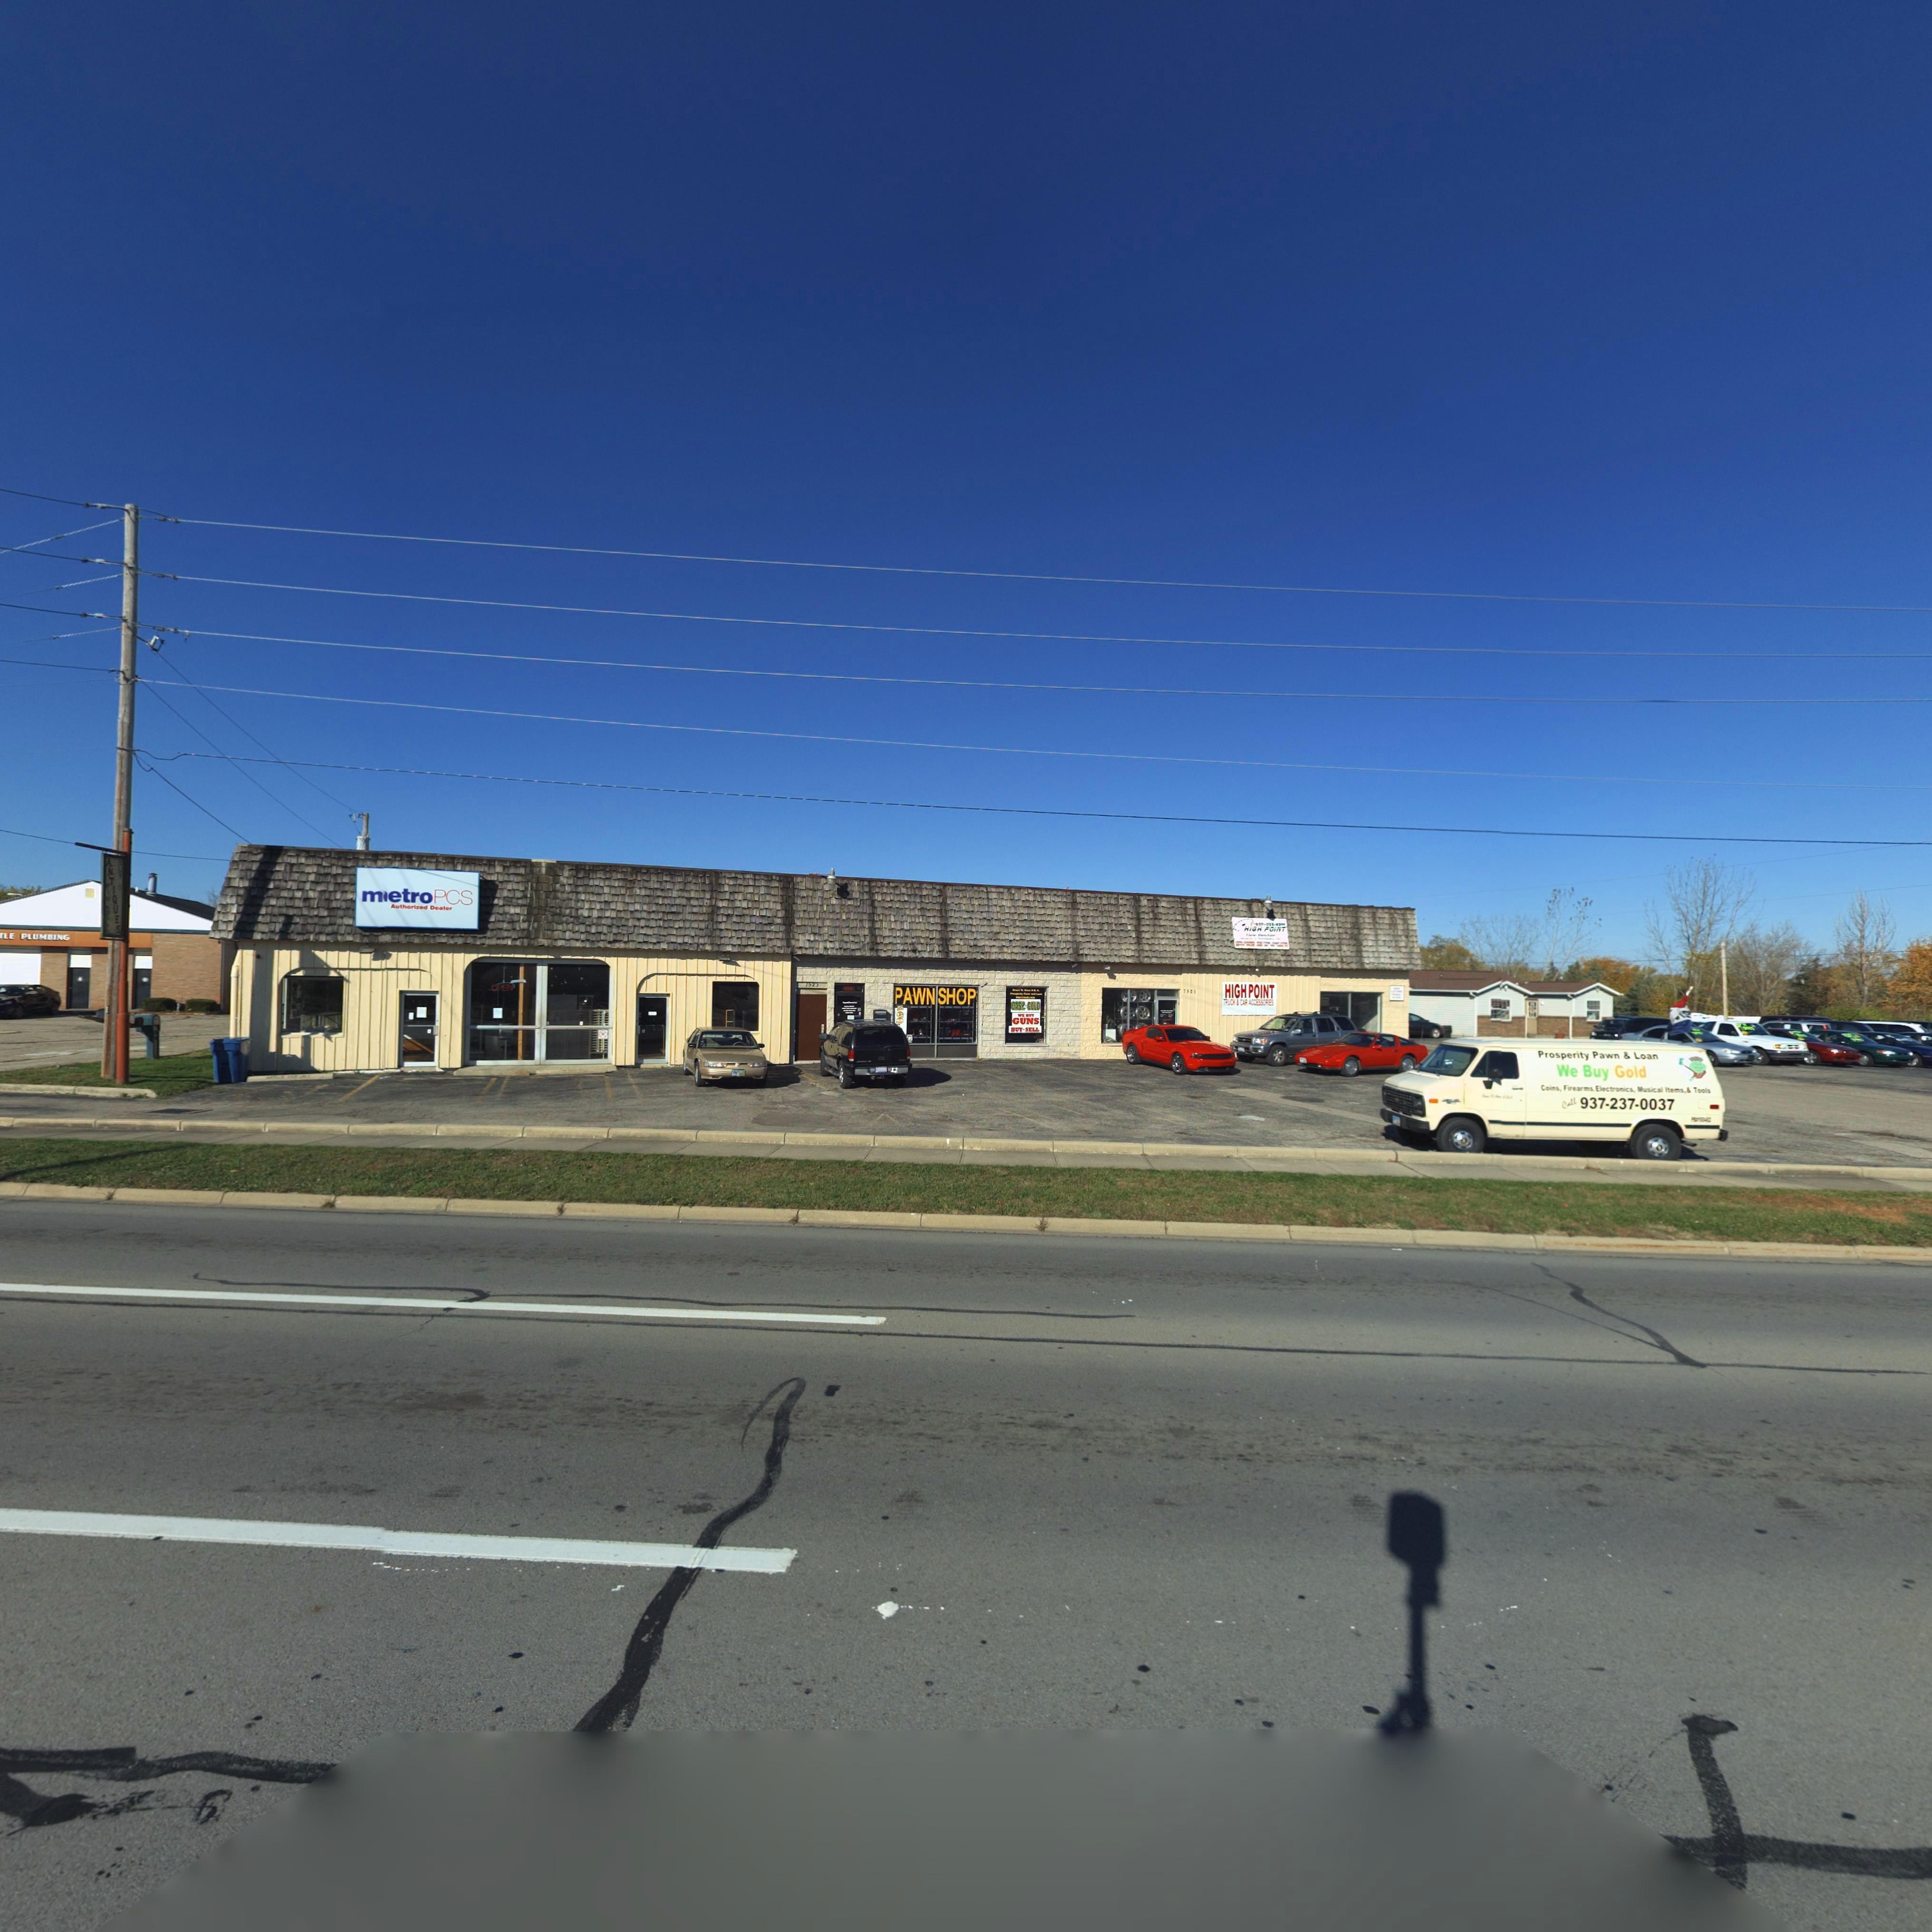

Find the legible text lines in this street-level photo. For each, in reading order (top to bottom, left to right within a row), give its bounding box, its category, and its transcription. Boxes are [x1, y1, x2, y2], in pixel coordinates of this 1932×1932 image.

[106, 857, 122, 935] BusinessName: ANTIQUES
[361, 887, 474, 907] BusinessName: m*etroPCS
[1243, 926, 1287, 933] BusinessName: HIGH POINT
[3, 932, 71, 941] BusinessName: LE PLUMBING
[804, 982, 820, 988] StreetNumber: 7523
[894, 986, 977, 1005] None: PAWN SHOP
[1182, 988, 1198, 995] StreetNumber: 75*5
[1224, 983, 1275, 999] BusinessName: HIGH POINT
[1010, 1001, 1040, 1011] BusinessName: CASH4GOLD
[1222, 998, 1275, 1006] BusinessName: TRUCK & CAR ACCESSORIES